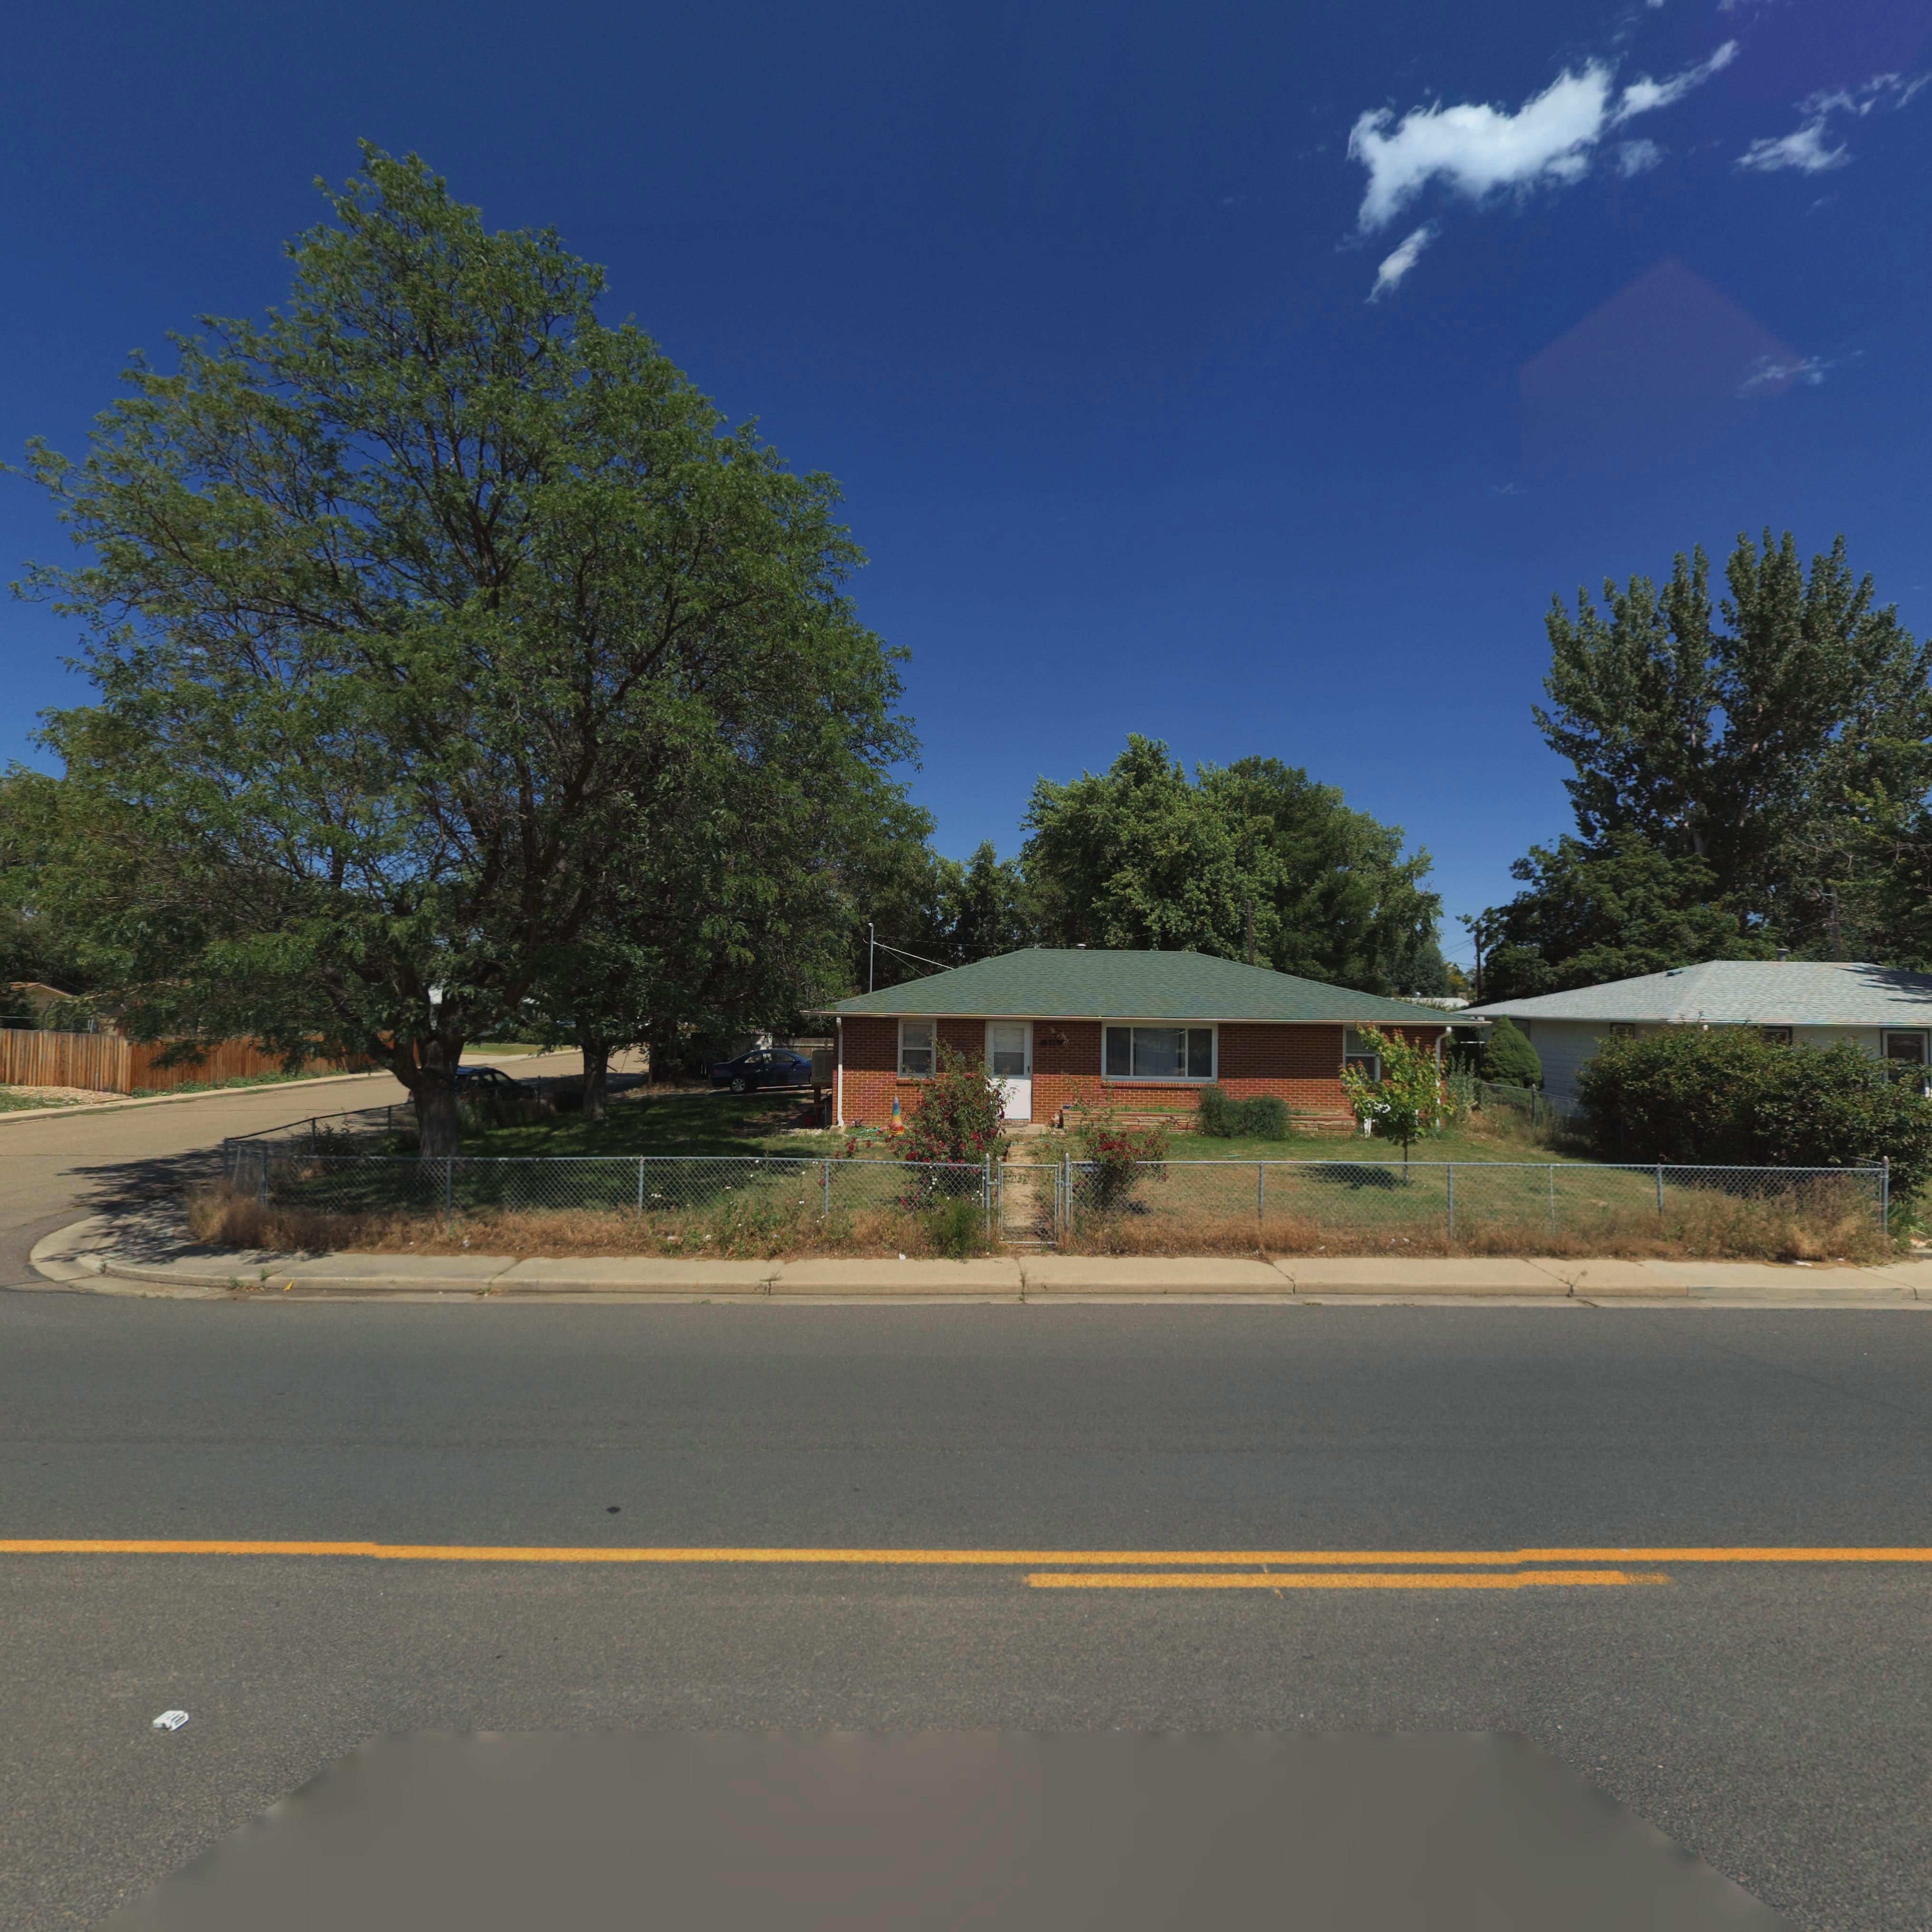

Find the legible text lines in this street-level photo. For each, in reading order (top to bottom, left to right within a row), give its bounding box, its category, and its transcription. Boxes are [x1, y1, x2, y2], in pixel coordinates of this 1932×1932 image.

[1046, 1039, 1058, 1045] StreetNumber: 946